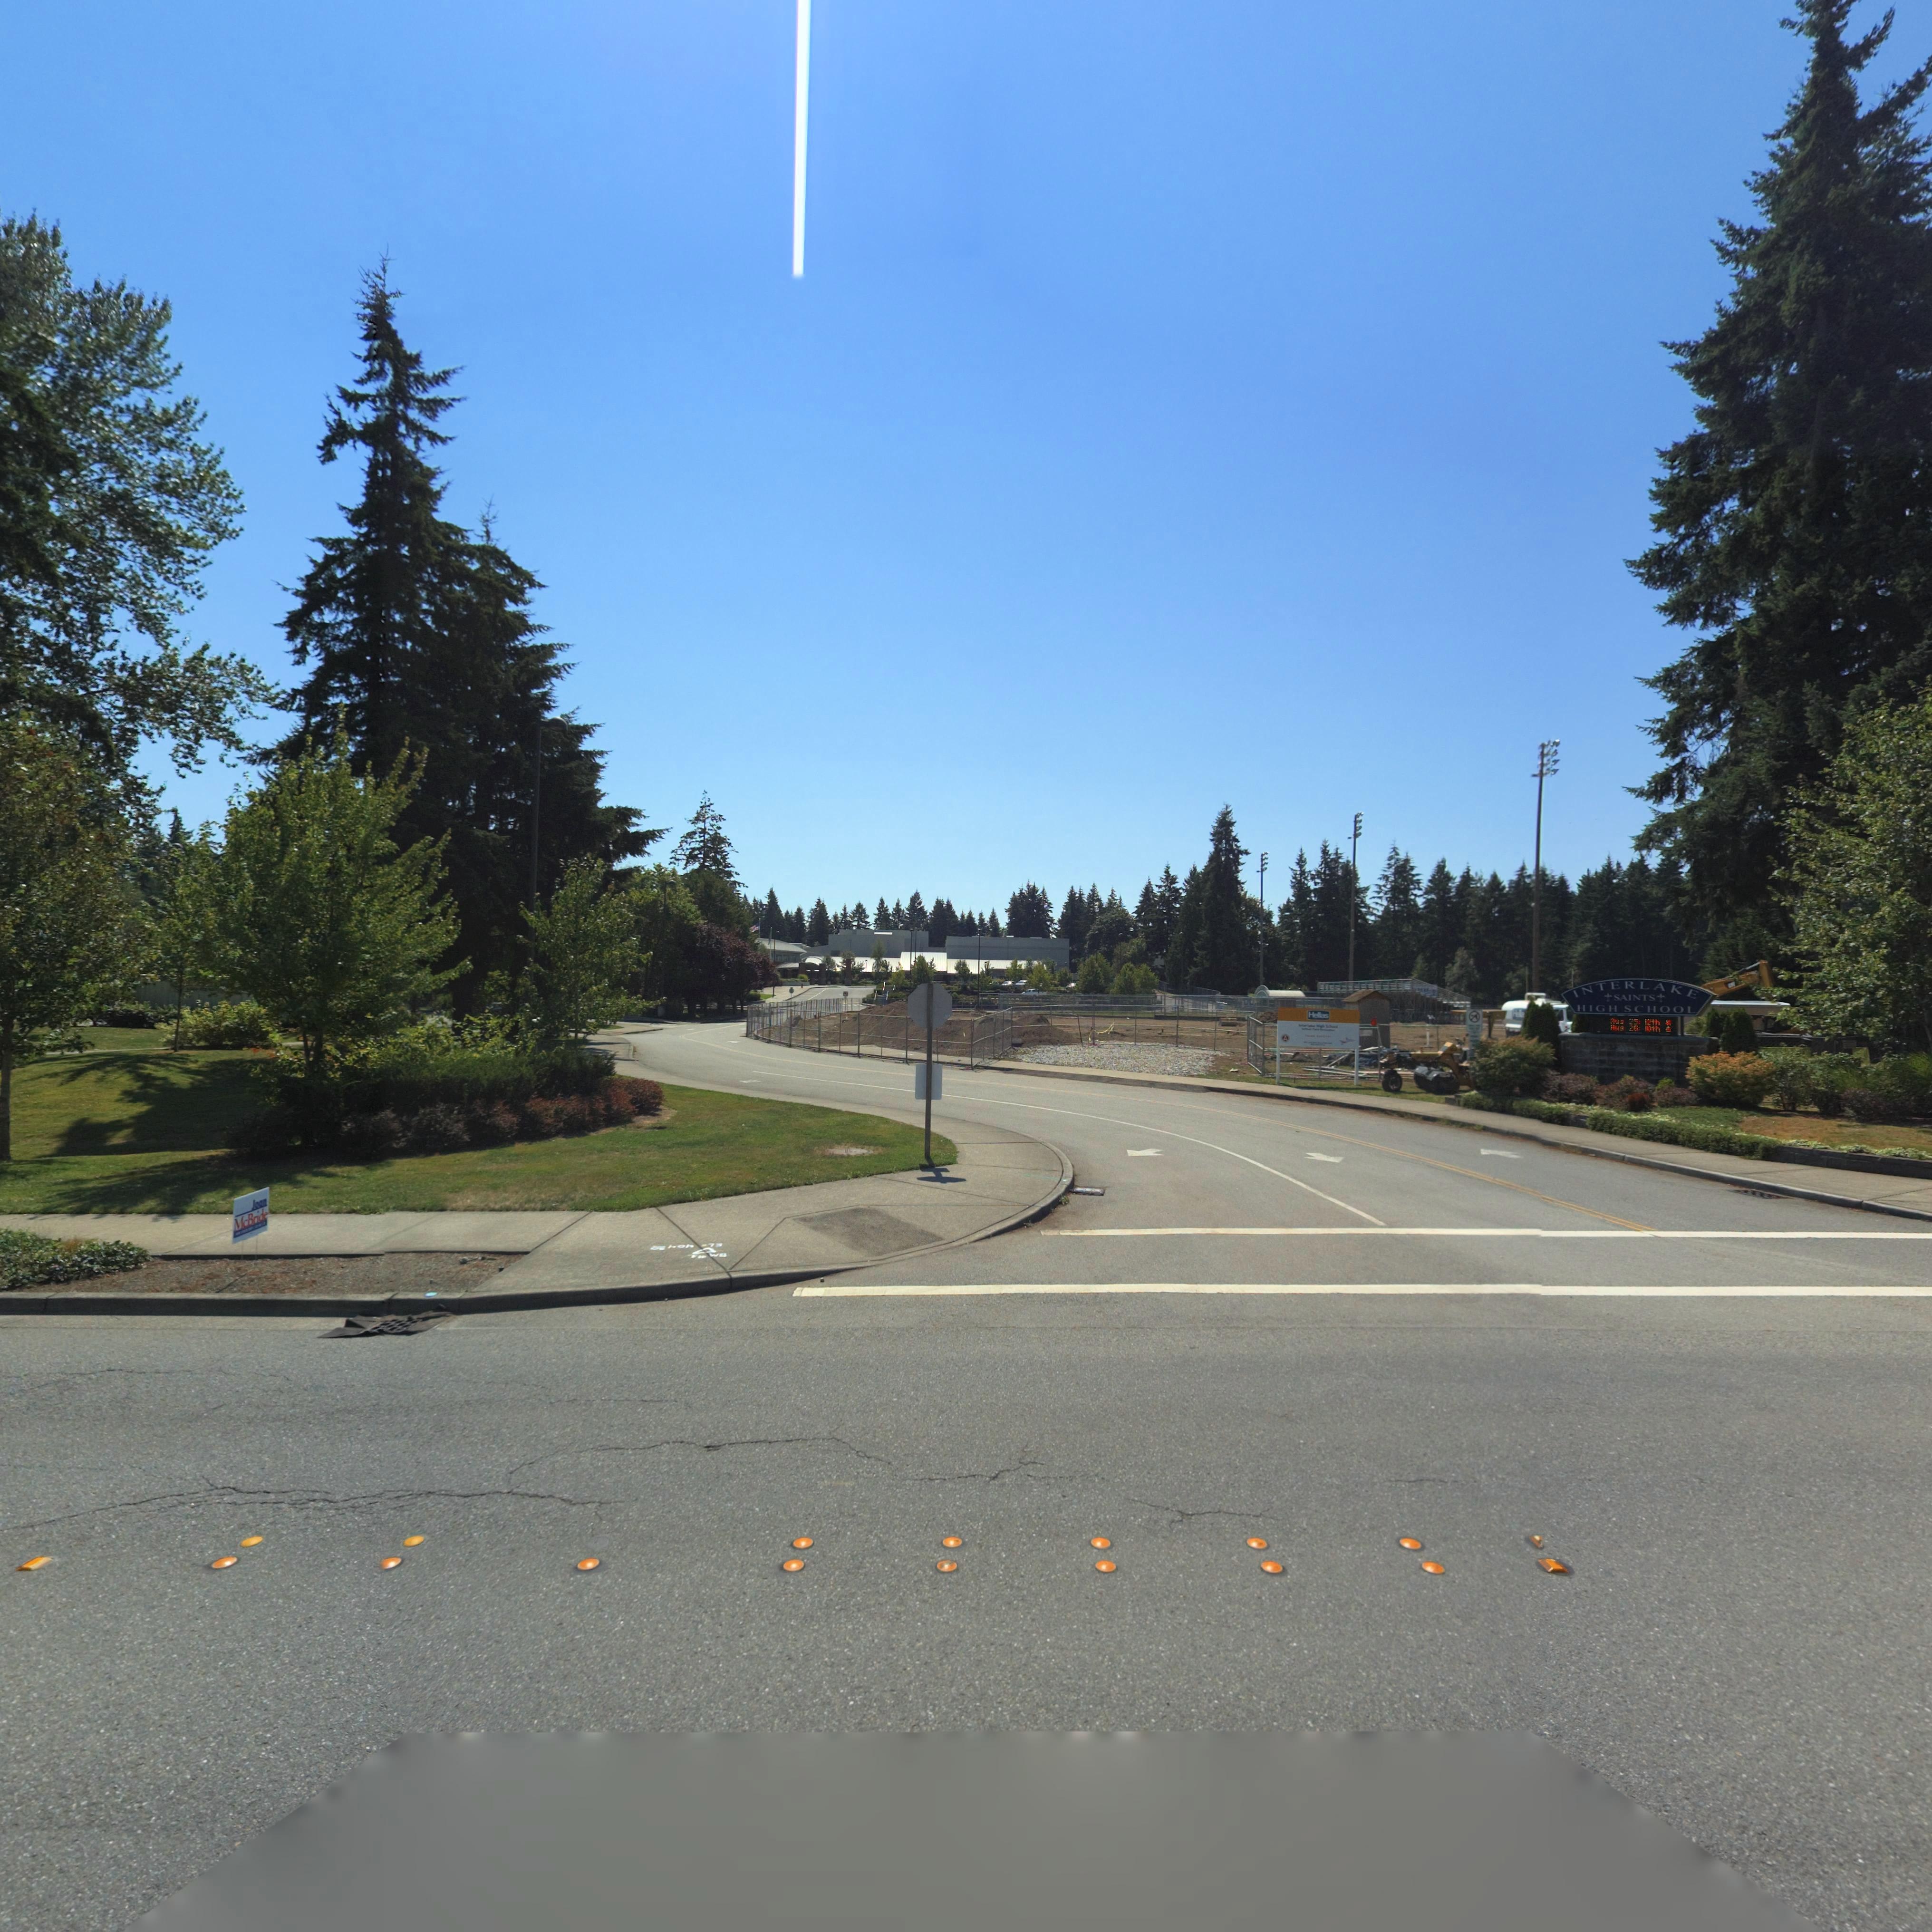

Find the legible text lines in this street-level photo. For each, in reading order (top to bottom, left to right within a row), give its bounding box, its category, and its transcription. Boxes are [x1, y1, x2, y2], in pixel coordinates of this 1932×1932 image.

[1572, 980, 1703, 1000] BusinessName: INTERLAKE
[1613, 994, 1656, 1001] BusinessName: SAINTS
[1577, 1005, 1695, 1013] BusinessName: HIGH SCHOOL
[1308, 1011, 1328, 1018] BusinessName: Hellas